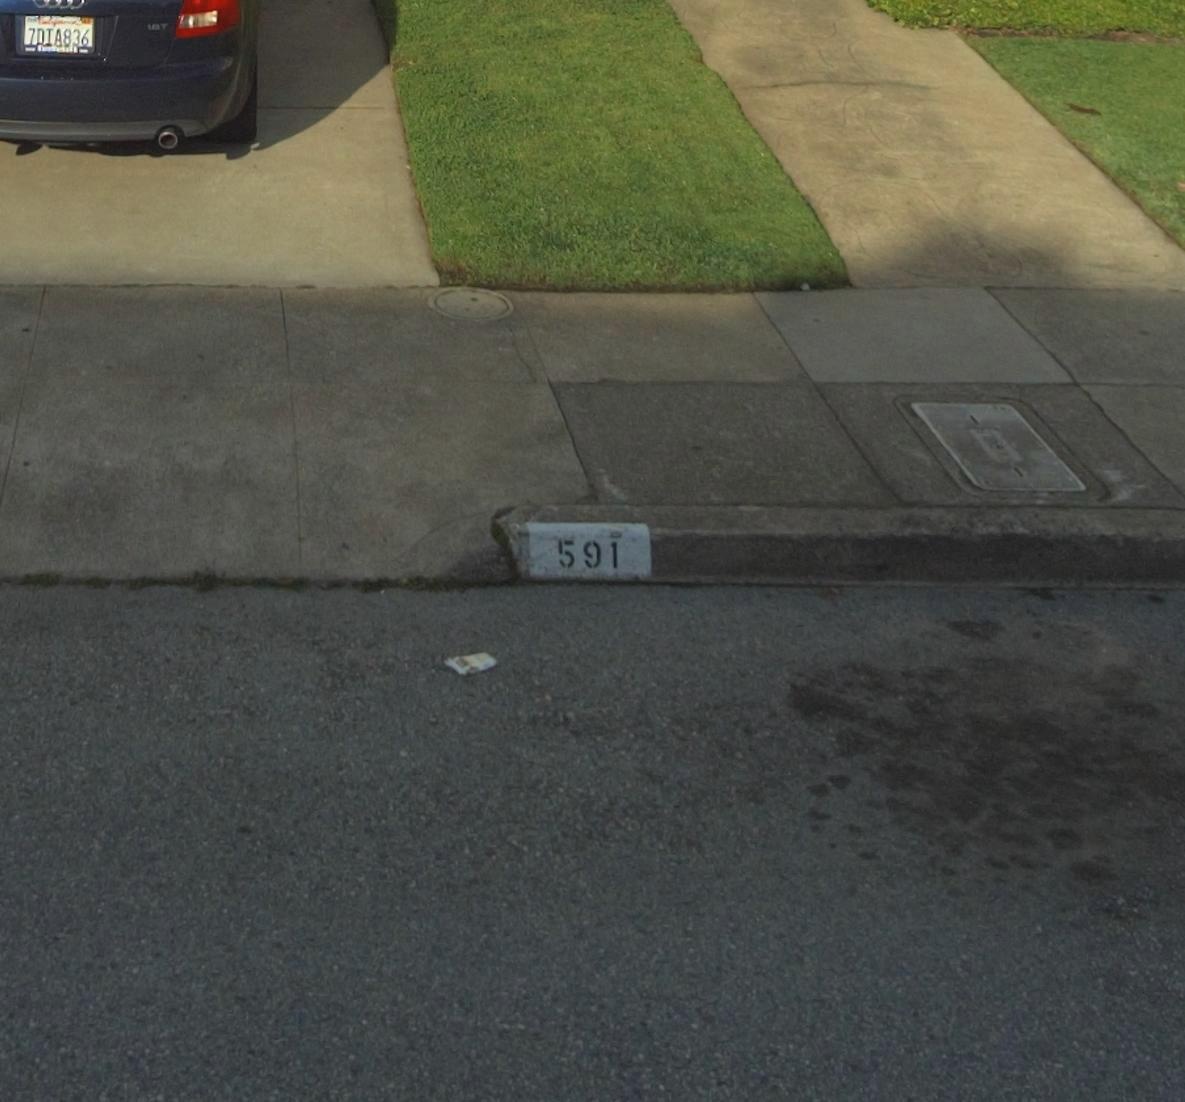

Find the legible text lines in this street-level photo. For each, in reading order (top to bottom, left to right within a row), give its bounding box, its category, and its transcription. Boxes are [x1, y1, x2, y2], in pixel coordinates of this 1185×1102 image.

[26, 26, 93, 49] None: 7DIA836
[556, 536, 620, 572] StreetNumber: 591